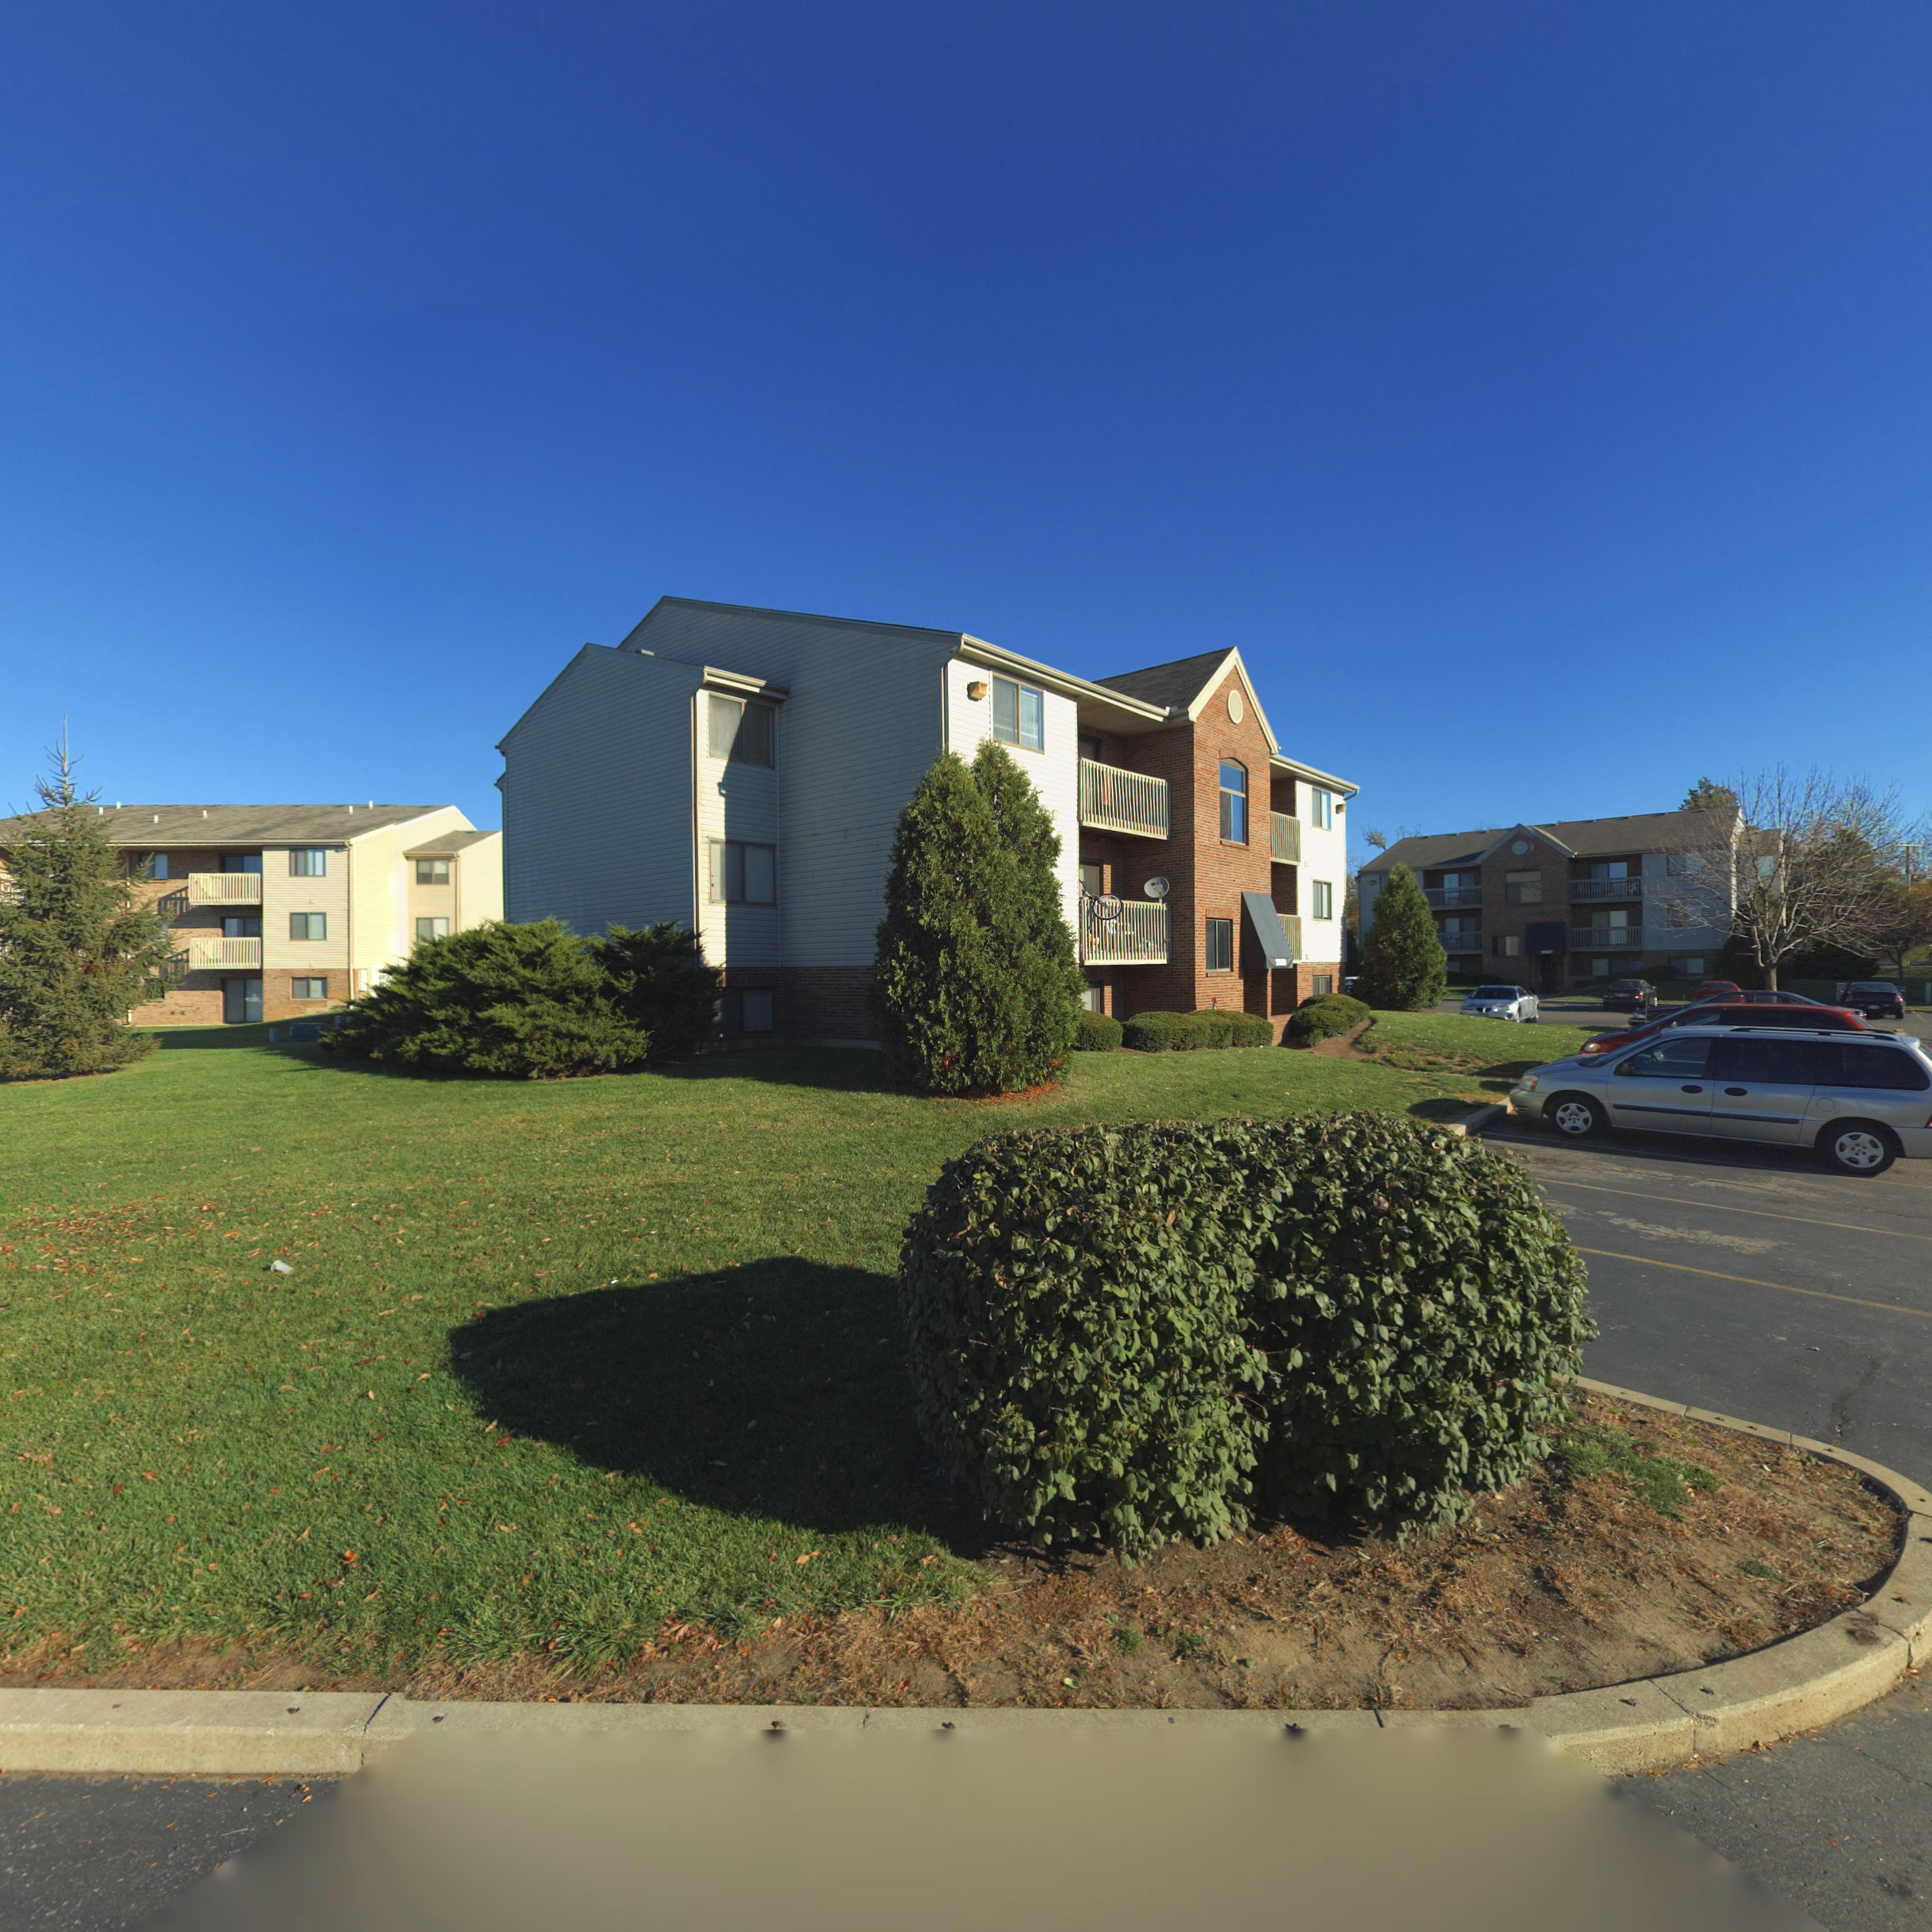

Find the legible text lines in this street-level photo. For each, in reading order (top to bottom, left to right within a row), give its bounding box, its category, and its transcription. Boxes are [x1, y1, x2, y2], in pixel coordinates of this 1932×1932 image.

[1540, 950, 1554, 954] StreetNumber: 2*47
[1274, 958, 1287, 966] StreetNumber: 2***